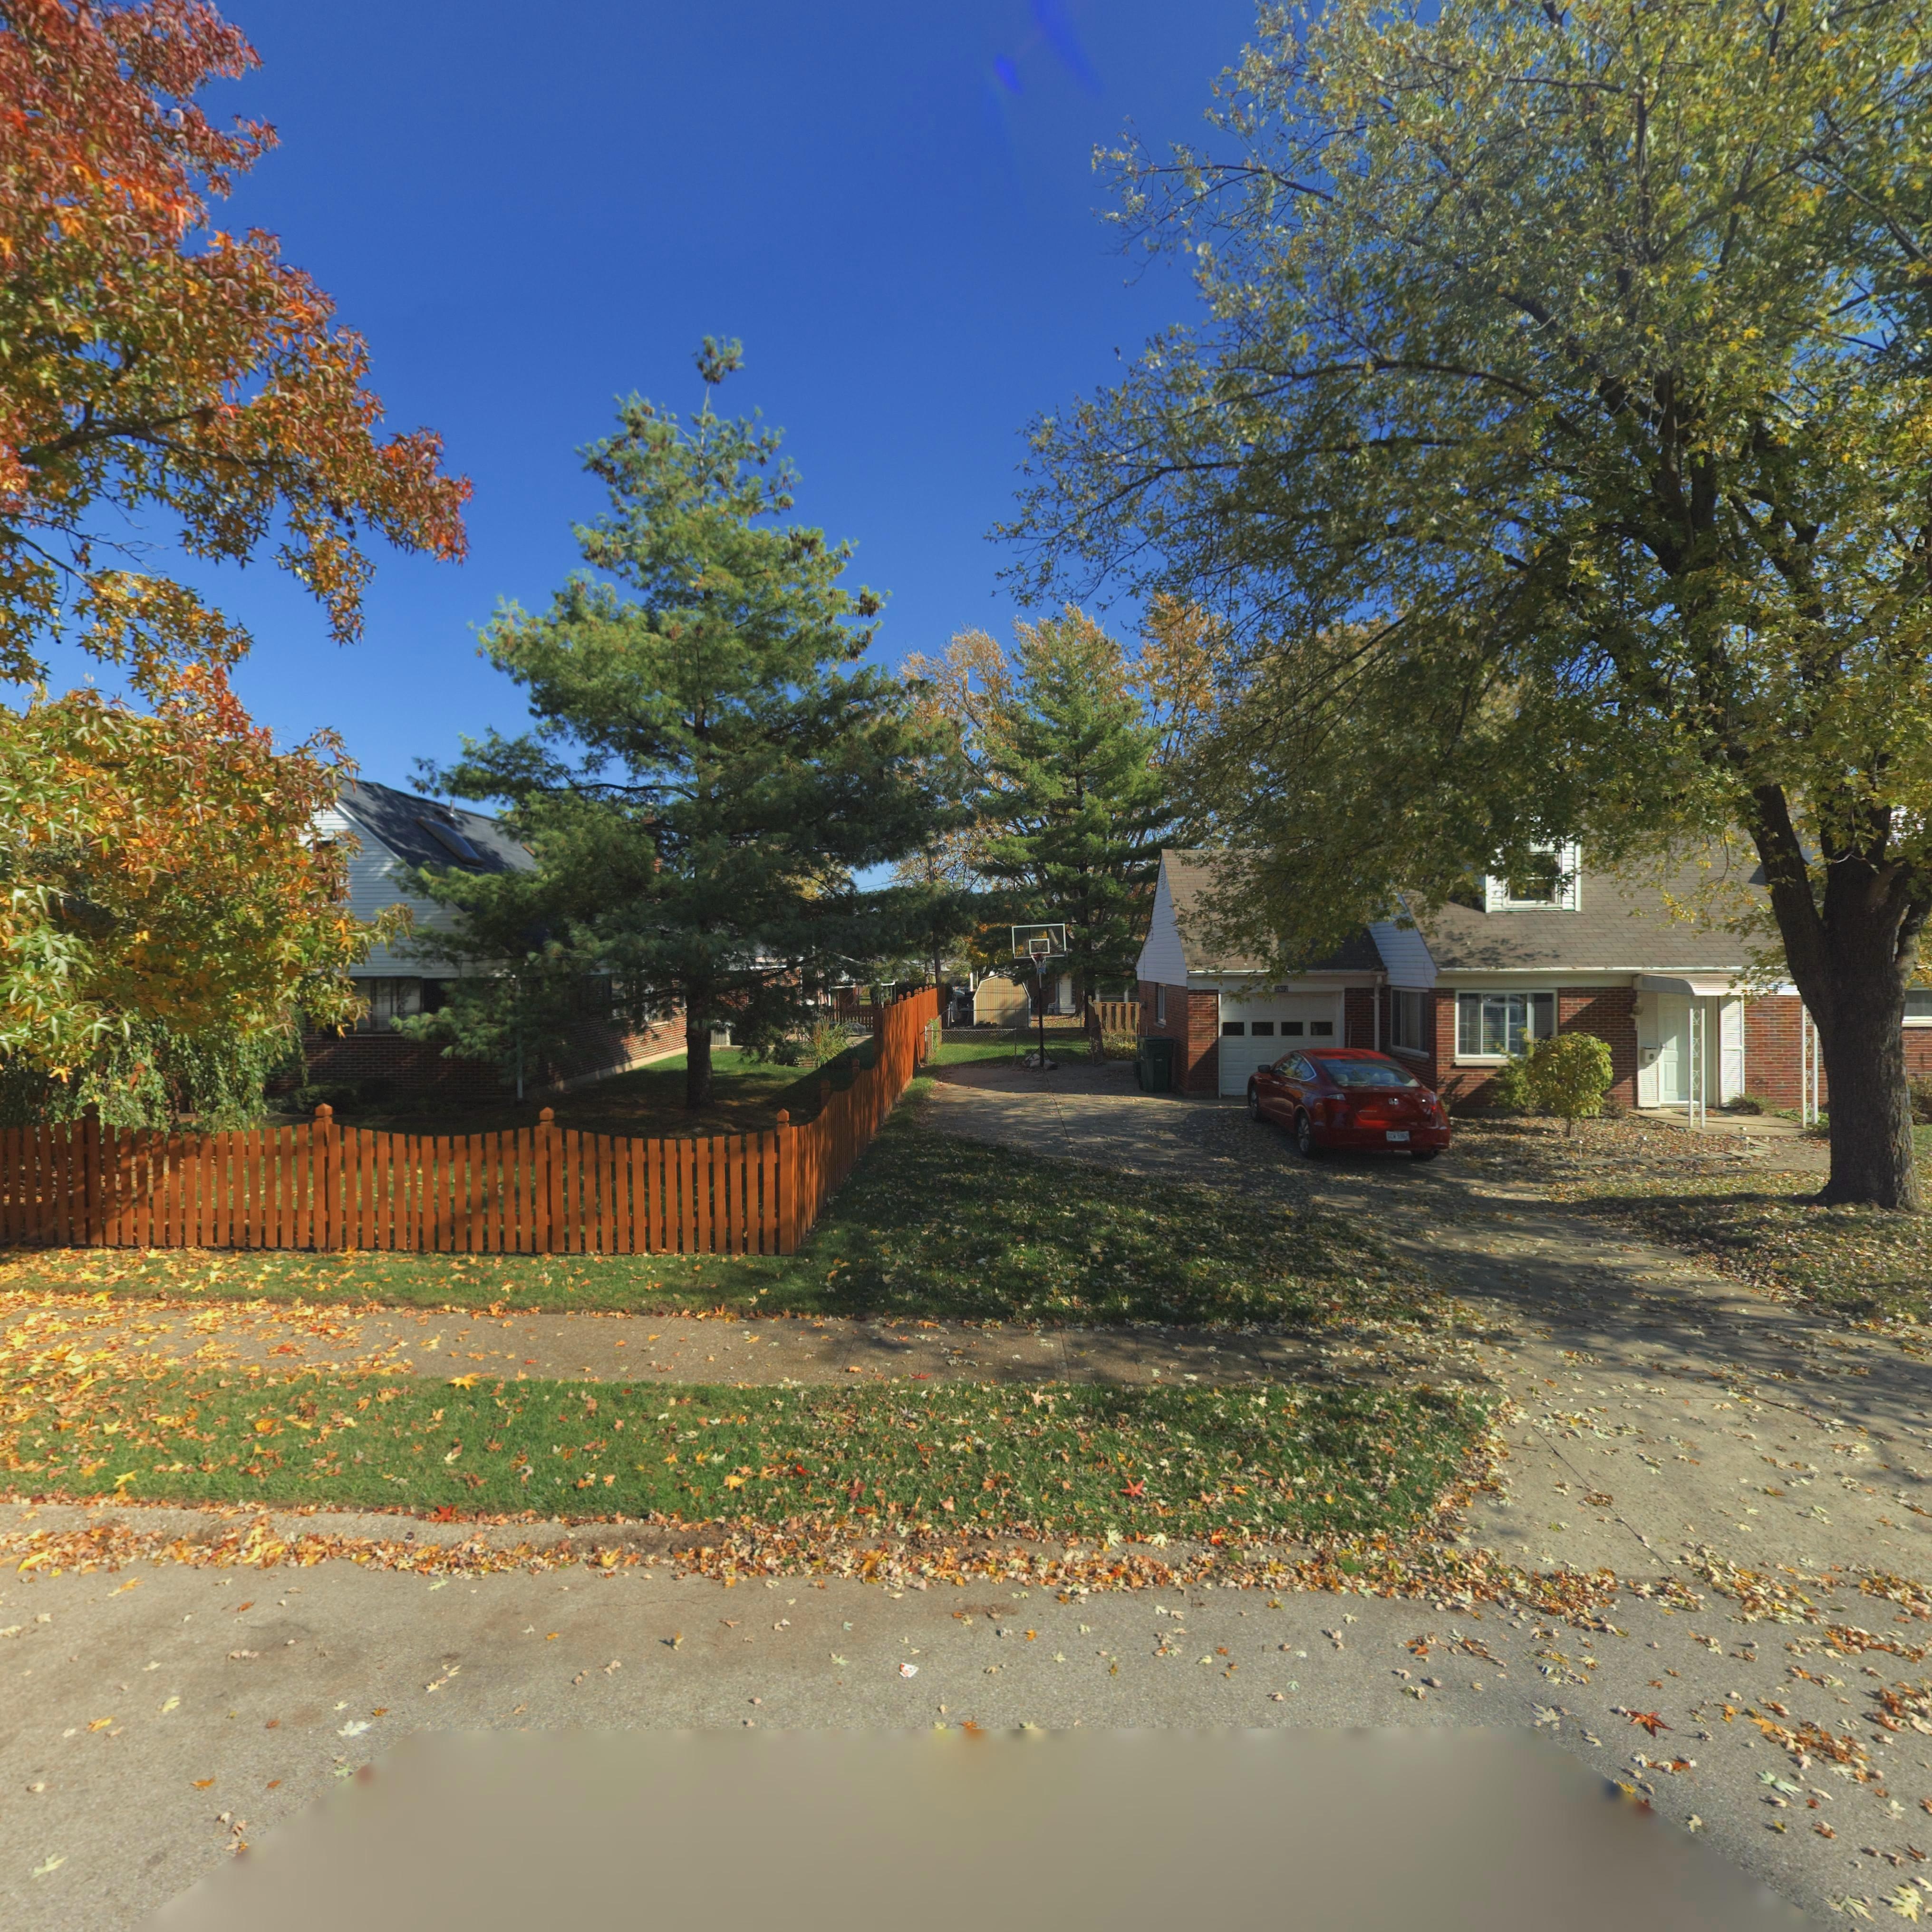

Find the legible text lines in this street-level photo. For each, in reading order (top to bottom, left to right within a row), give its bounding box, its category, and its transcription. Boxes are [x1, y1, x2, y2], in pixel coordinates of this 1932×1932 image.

[1274, 985, 1289, 993] StreetNumber: 3802
[1387, 1132, 1409, 1140] None: *C* 59*2